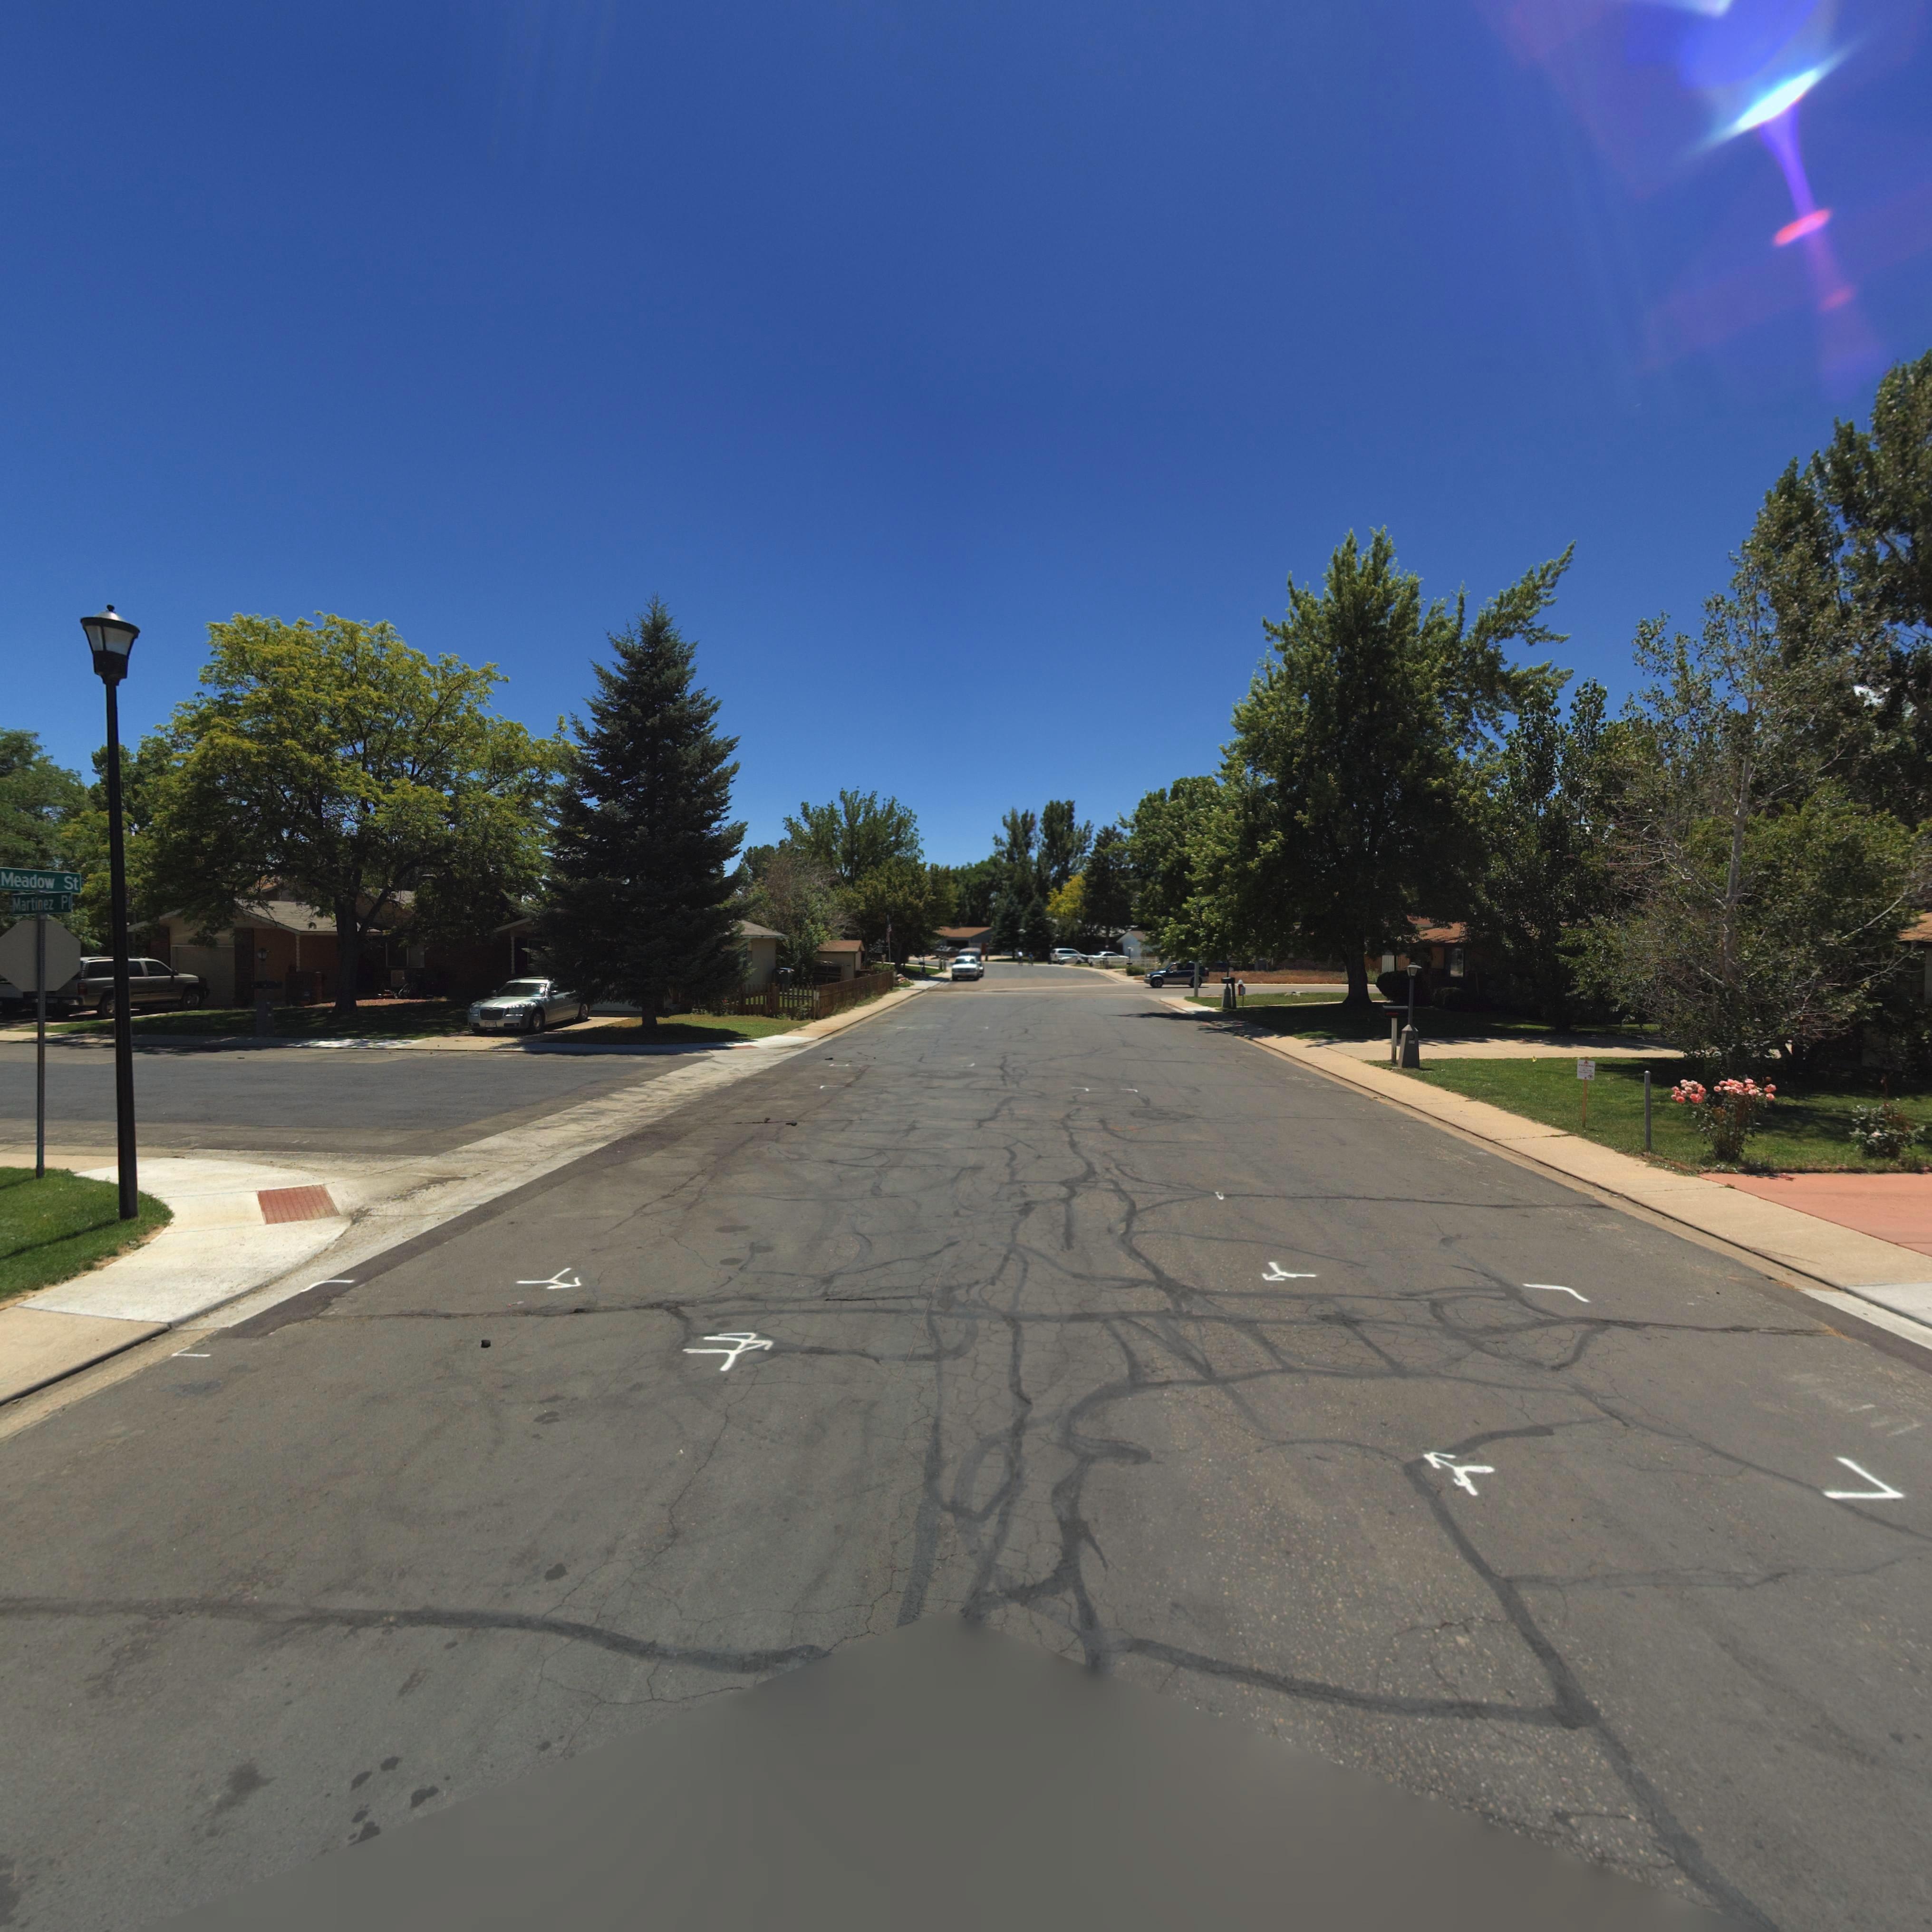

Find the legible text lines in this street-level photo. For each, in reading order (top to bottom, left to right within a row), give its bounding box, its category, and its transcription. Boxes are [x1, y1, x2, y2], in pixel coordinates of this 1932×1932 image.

[1, 872, 79, 891] StreetName: Meadow St
[12, 895, 71, 911] StreetName: Martinez Pl